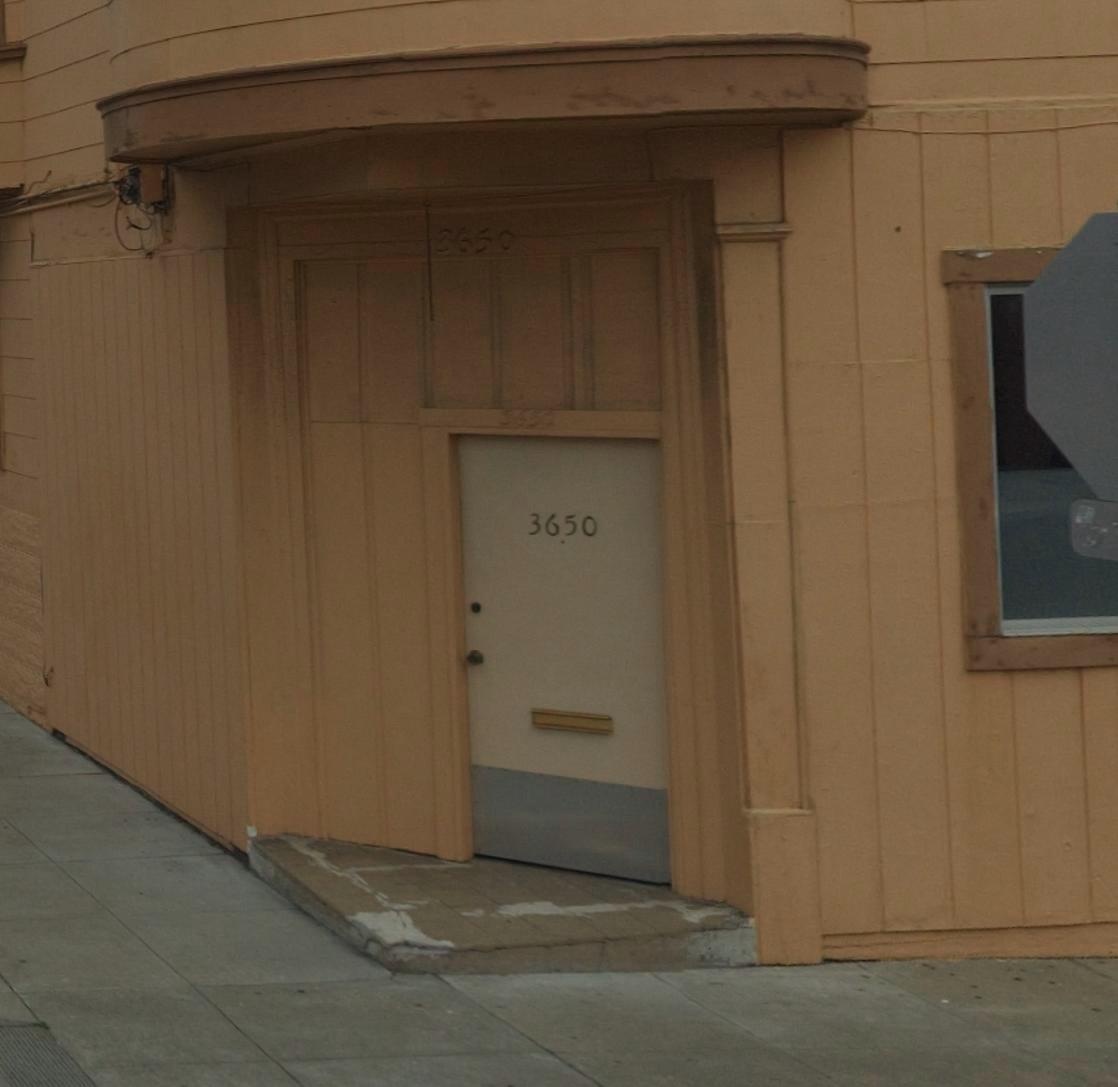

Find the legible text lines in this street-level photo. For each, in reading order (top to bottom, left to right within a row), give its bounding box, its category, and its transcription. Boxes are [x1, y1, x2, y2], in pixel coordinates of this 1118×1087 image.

[433, 226, 516, 256] StreetNumber: 3650
[497, 407, 558, 430] StreetNumber: *650
[527, 511, 599, 538] StreetNumber: 3650